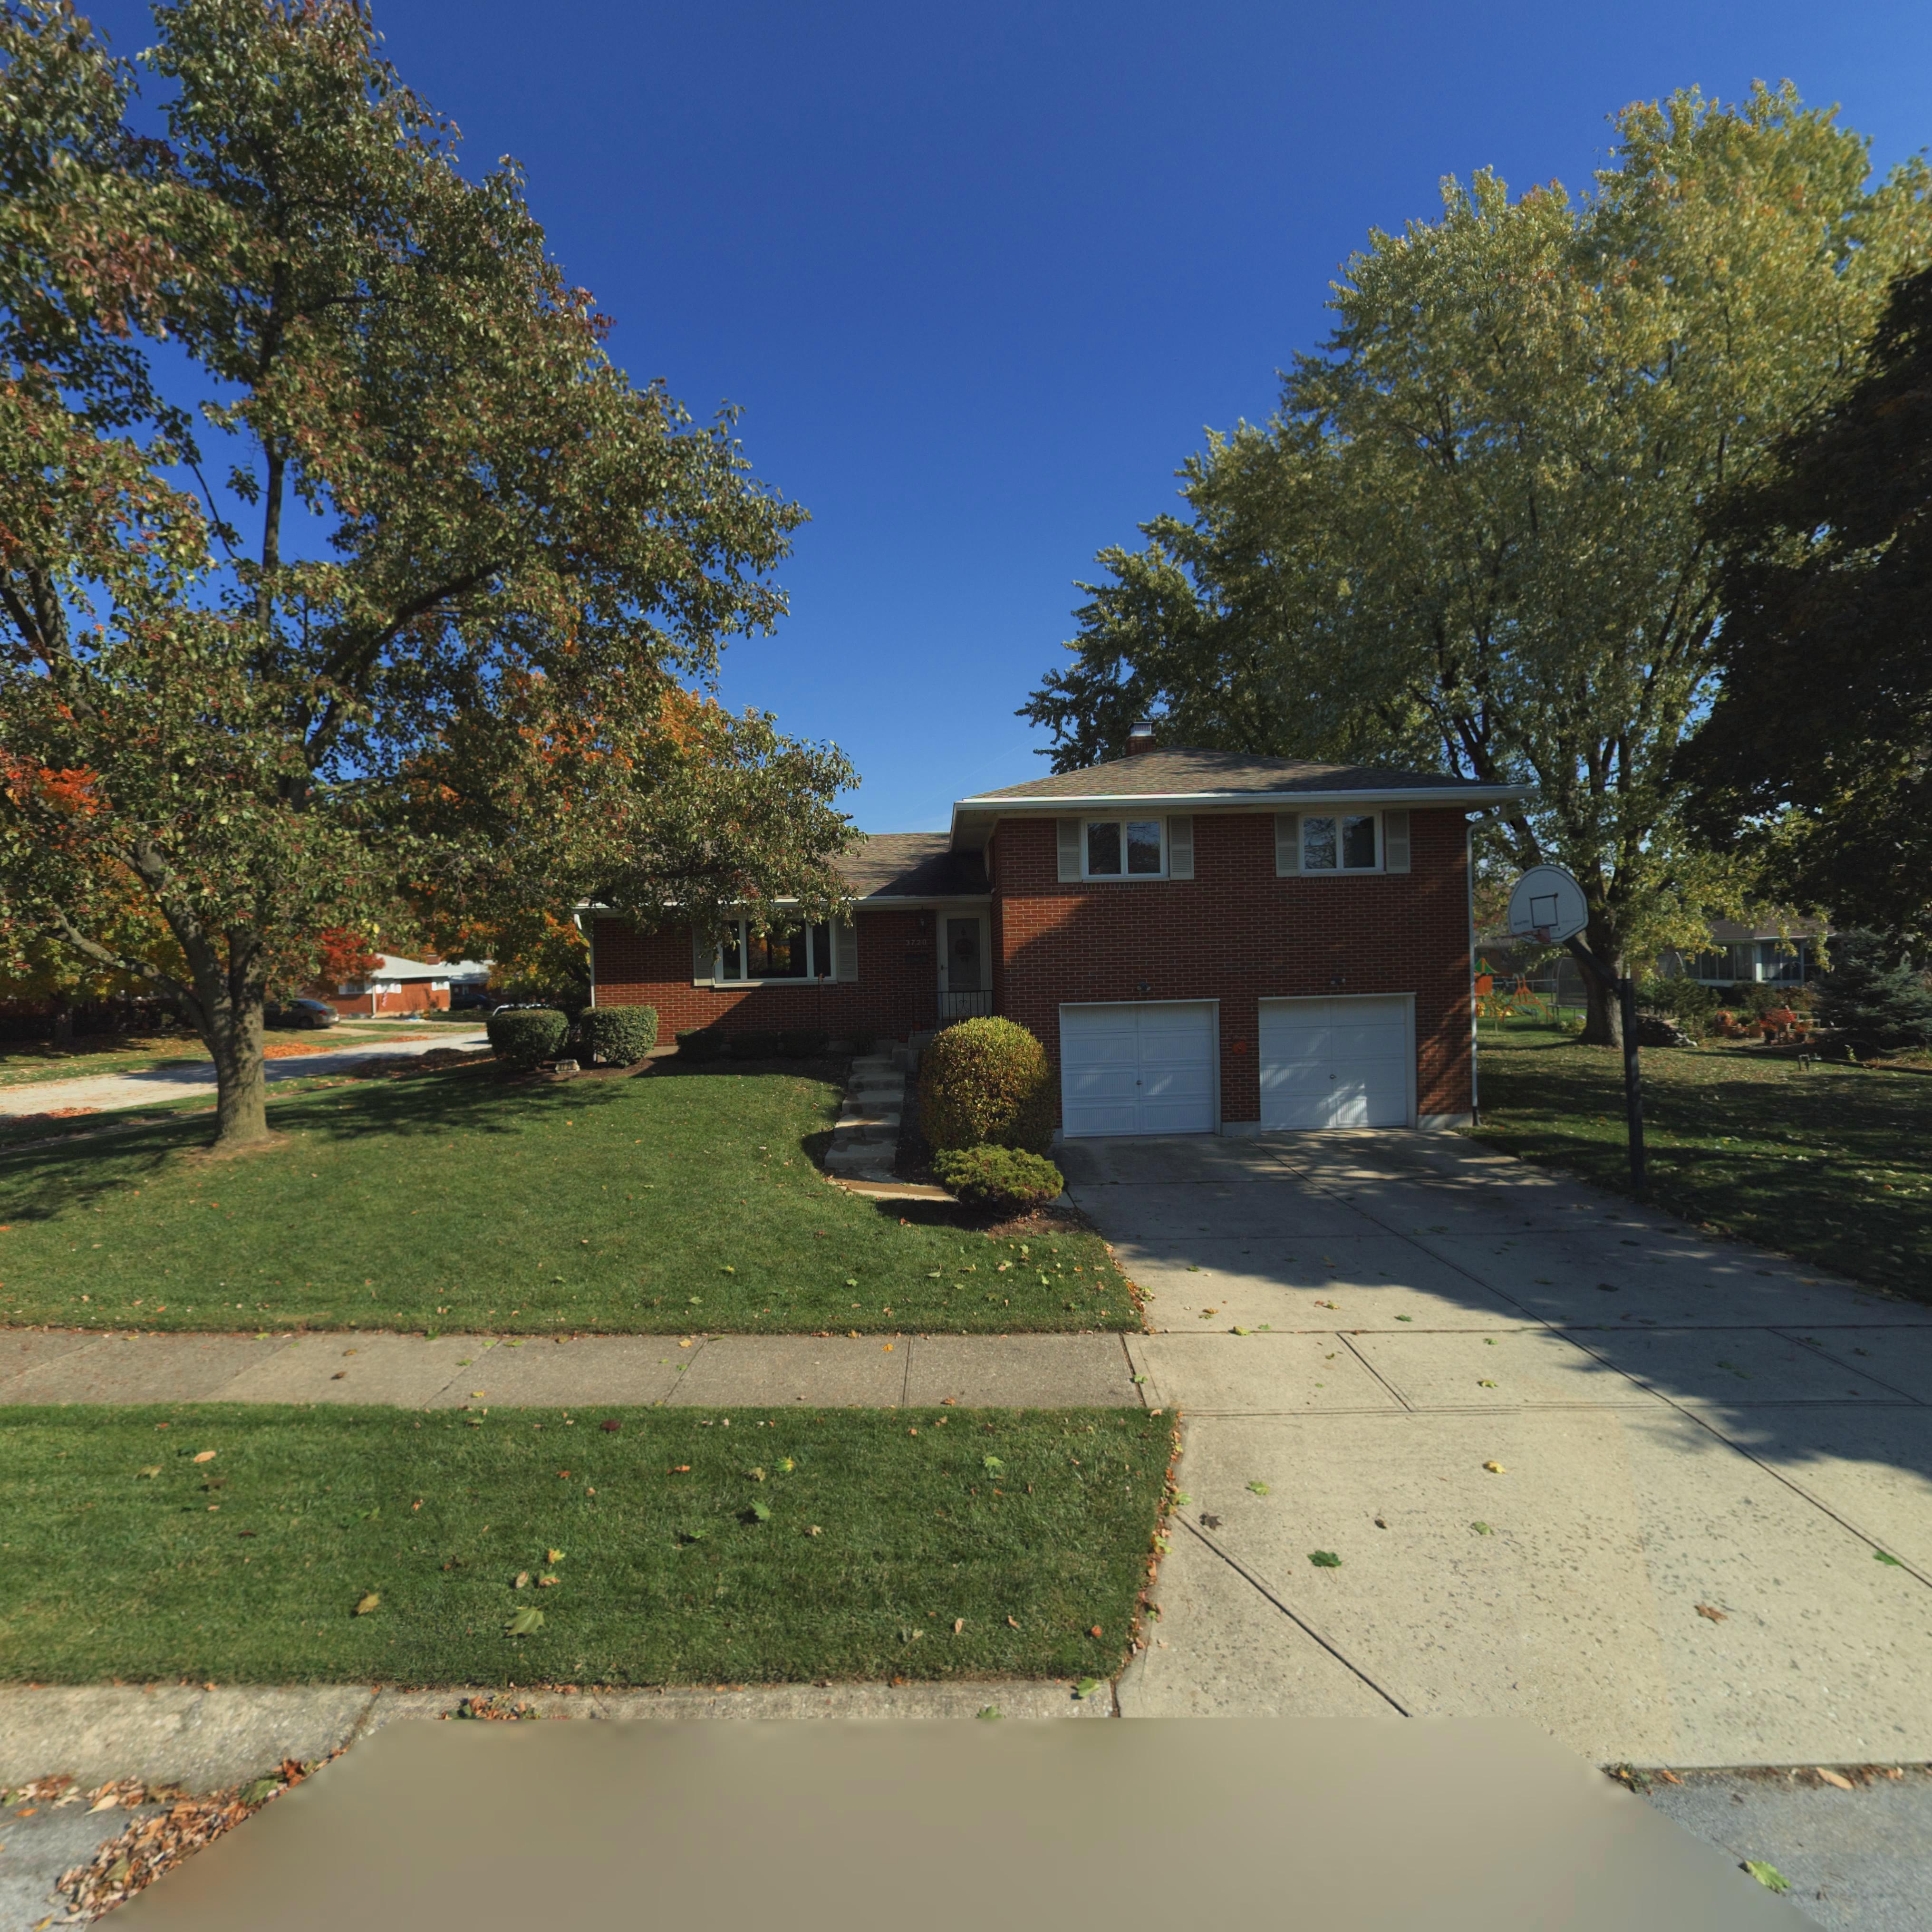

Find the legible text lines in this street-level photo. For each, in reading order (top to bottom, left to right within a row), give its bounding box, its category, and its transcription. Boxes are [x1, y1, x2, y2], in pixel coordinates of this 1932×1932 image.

[905, 938, 927, 946] StreetNumber: 3720